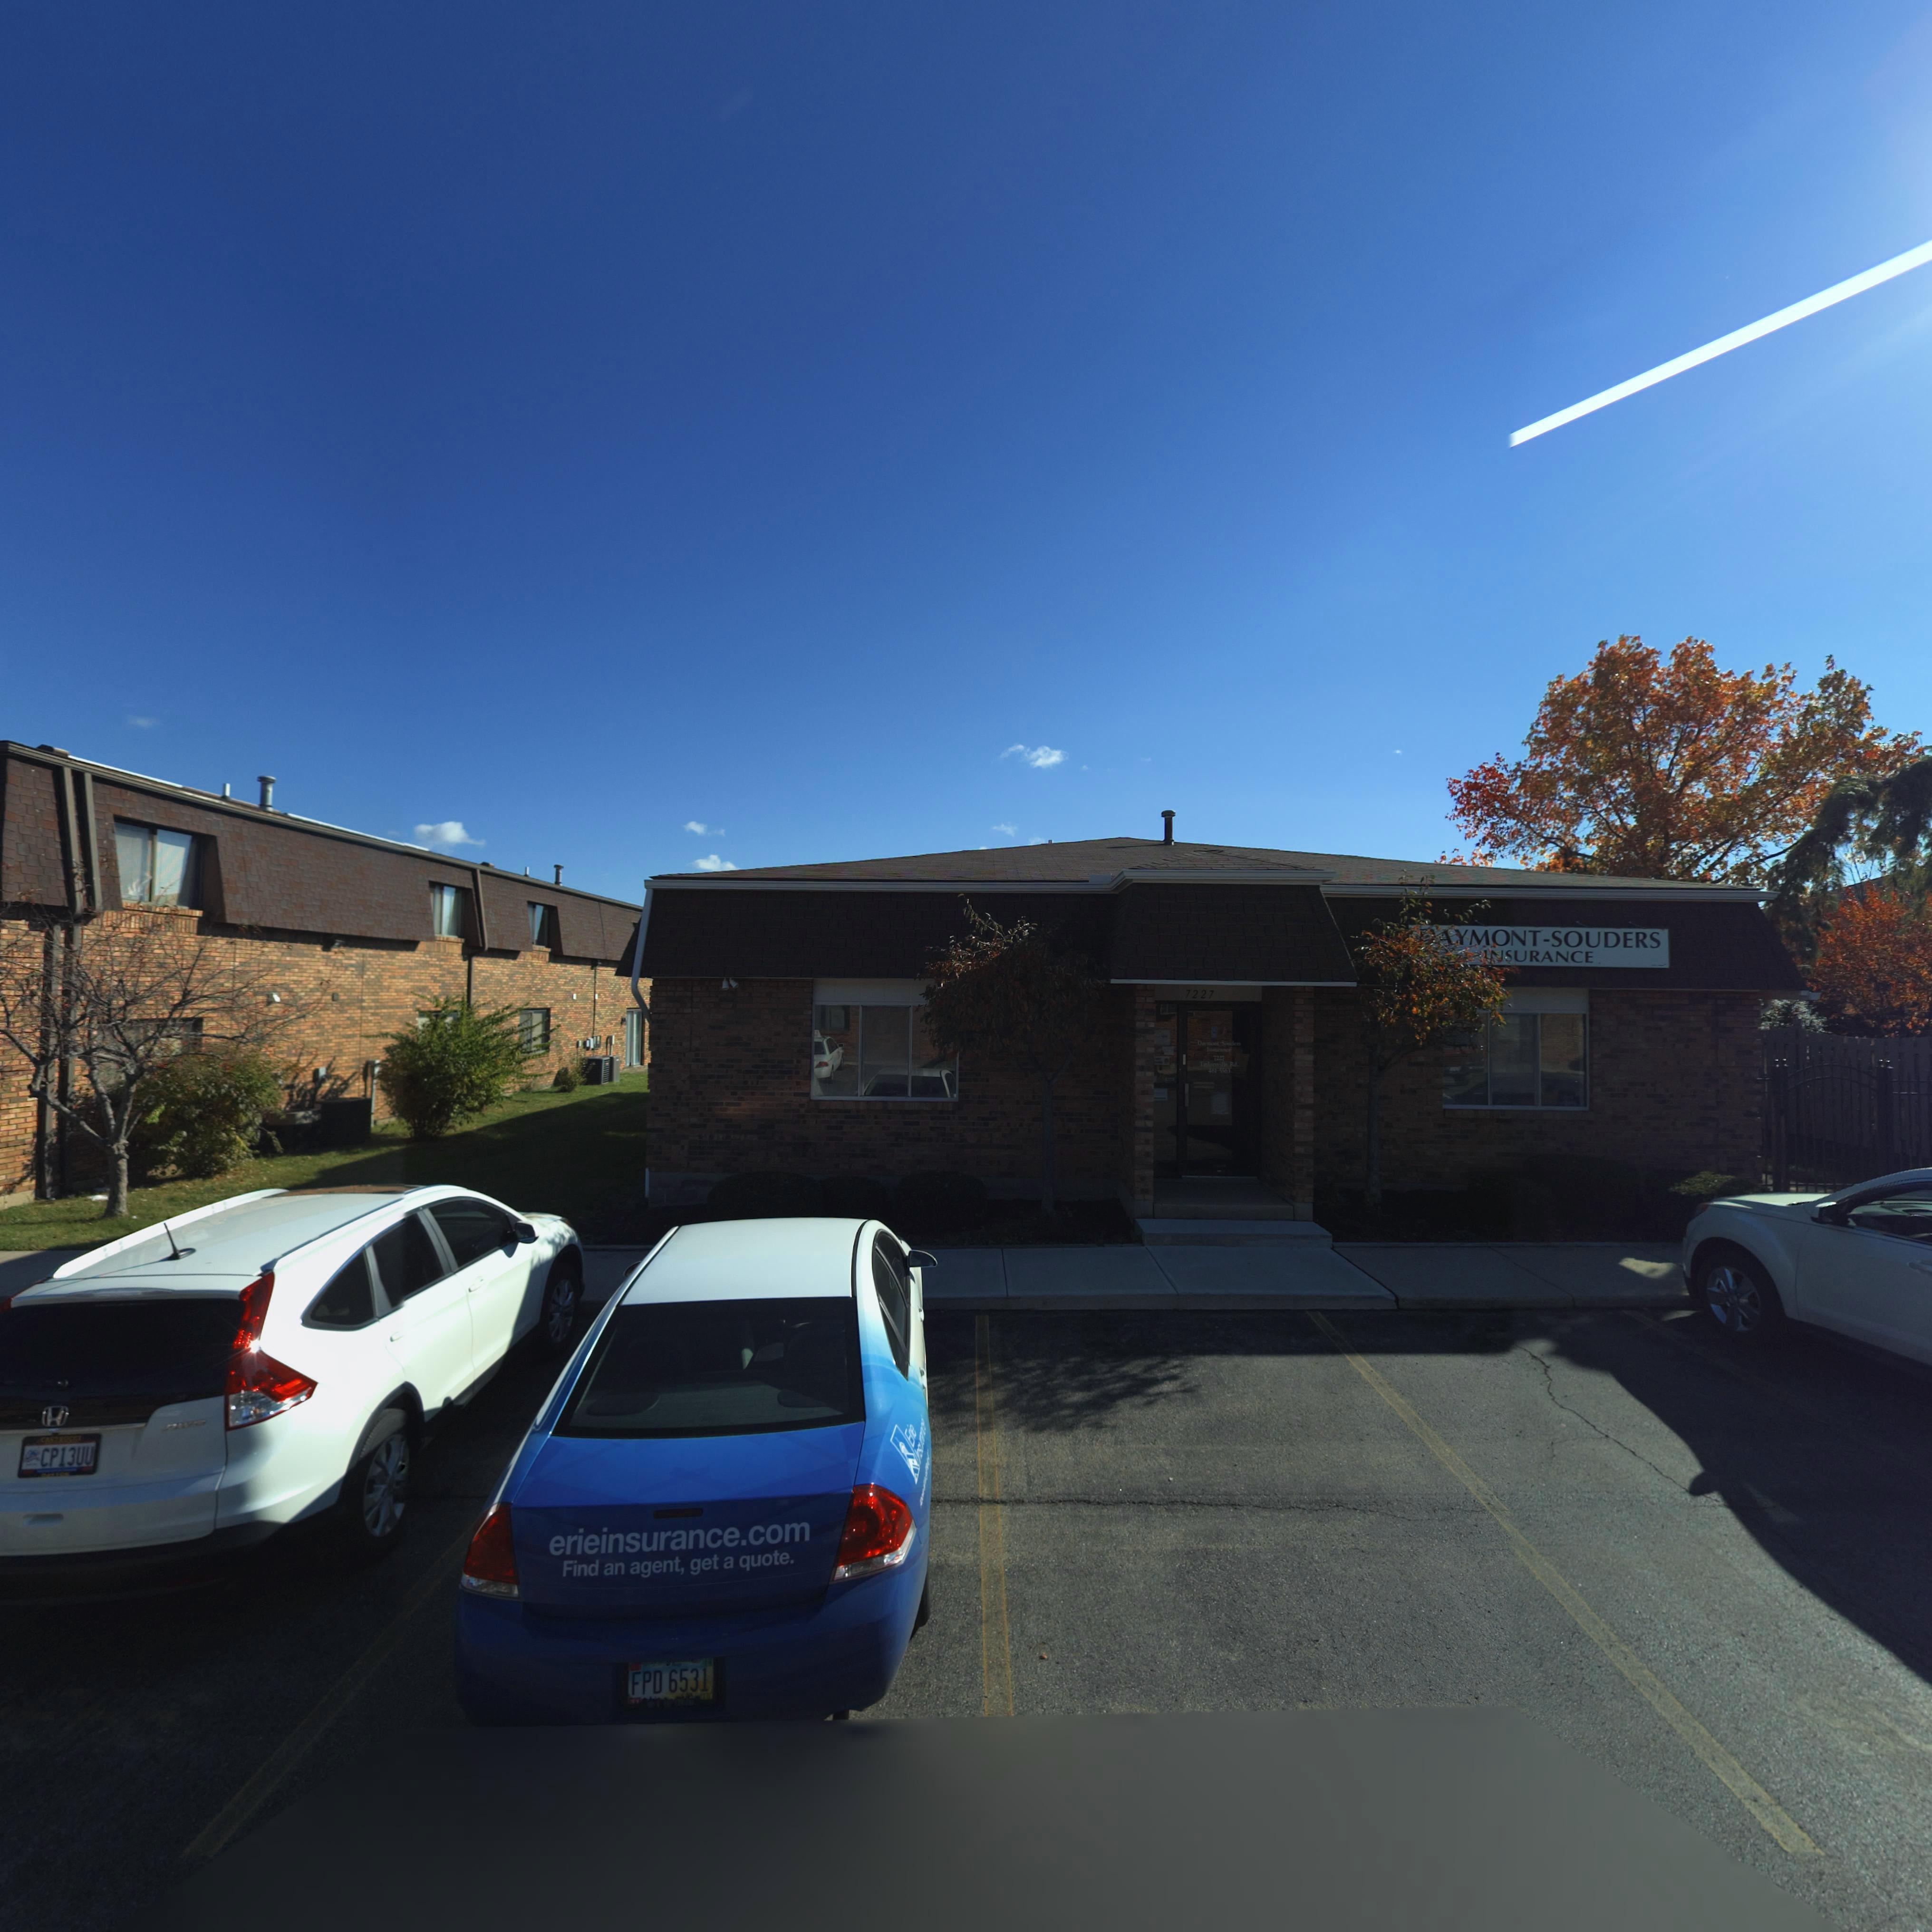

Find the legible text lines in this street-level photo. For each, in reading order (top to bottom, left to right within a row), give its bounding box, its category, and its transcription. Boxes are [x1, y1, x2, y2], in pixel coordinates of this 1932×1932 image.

[1453, 928, 1662, 950] BusinessName: YMONT-SOUDERS
[1513, 949, 1595, 965] BusinessName: URANCE
[1185, 989, 1216, 999] StreetNumber: 7227
[1213, 1055, 1226, 1062] StreetNumber: 7227